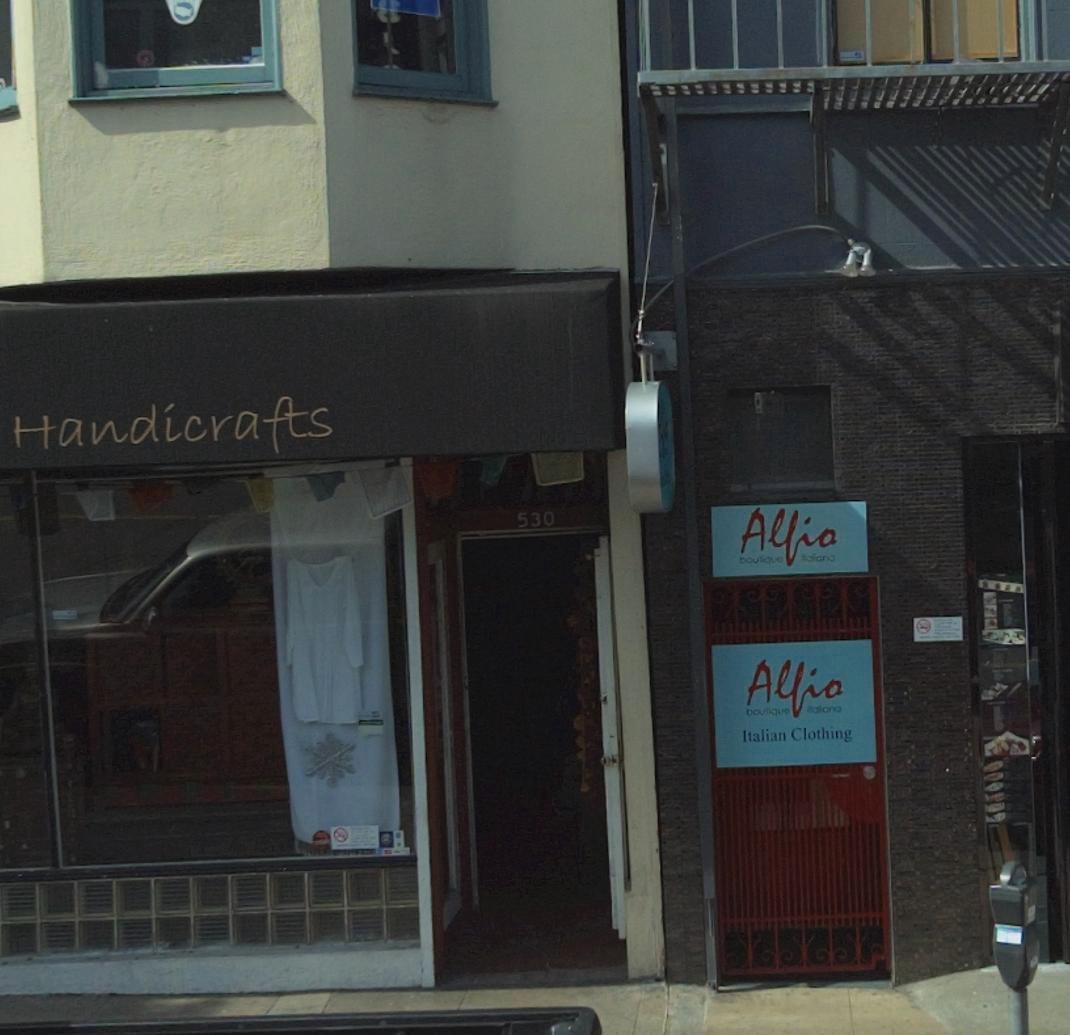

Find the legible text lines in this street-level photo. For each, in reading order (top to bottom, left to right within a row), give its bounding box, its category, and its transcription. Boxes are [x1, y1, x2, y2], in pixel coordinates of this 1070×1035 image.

[9, 391, 336, 456] BusinessName: Handicrafts
[516, 510, 556, 529] StreetNumber: 530
[737, 505, 845, 571] BusinessName: Alfio
[737, 554, 786, 567] BusinessName: boutique
[797, 552, 837, 564] BusinessName: italiano
[743, 656, 846, 721] BusinessName: Alfio
[743, 706, 791, 718] BusinessName: boutique
[805, 702, 844, 716] BusinessName: italiano
[739, 724, 855, 746] None: Italian Clothing